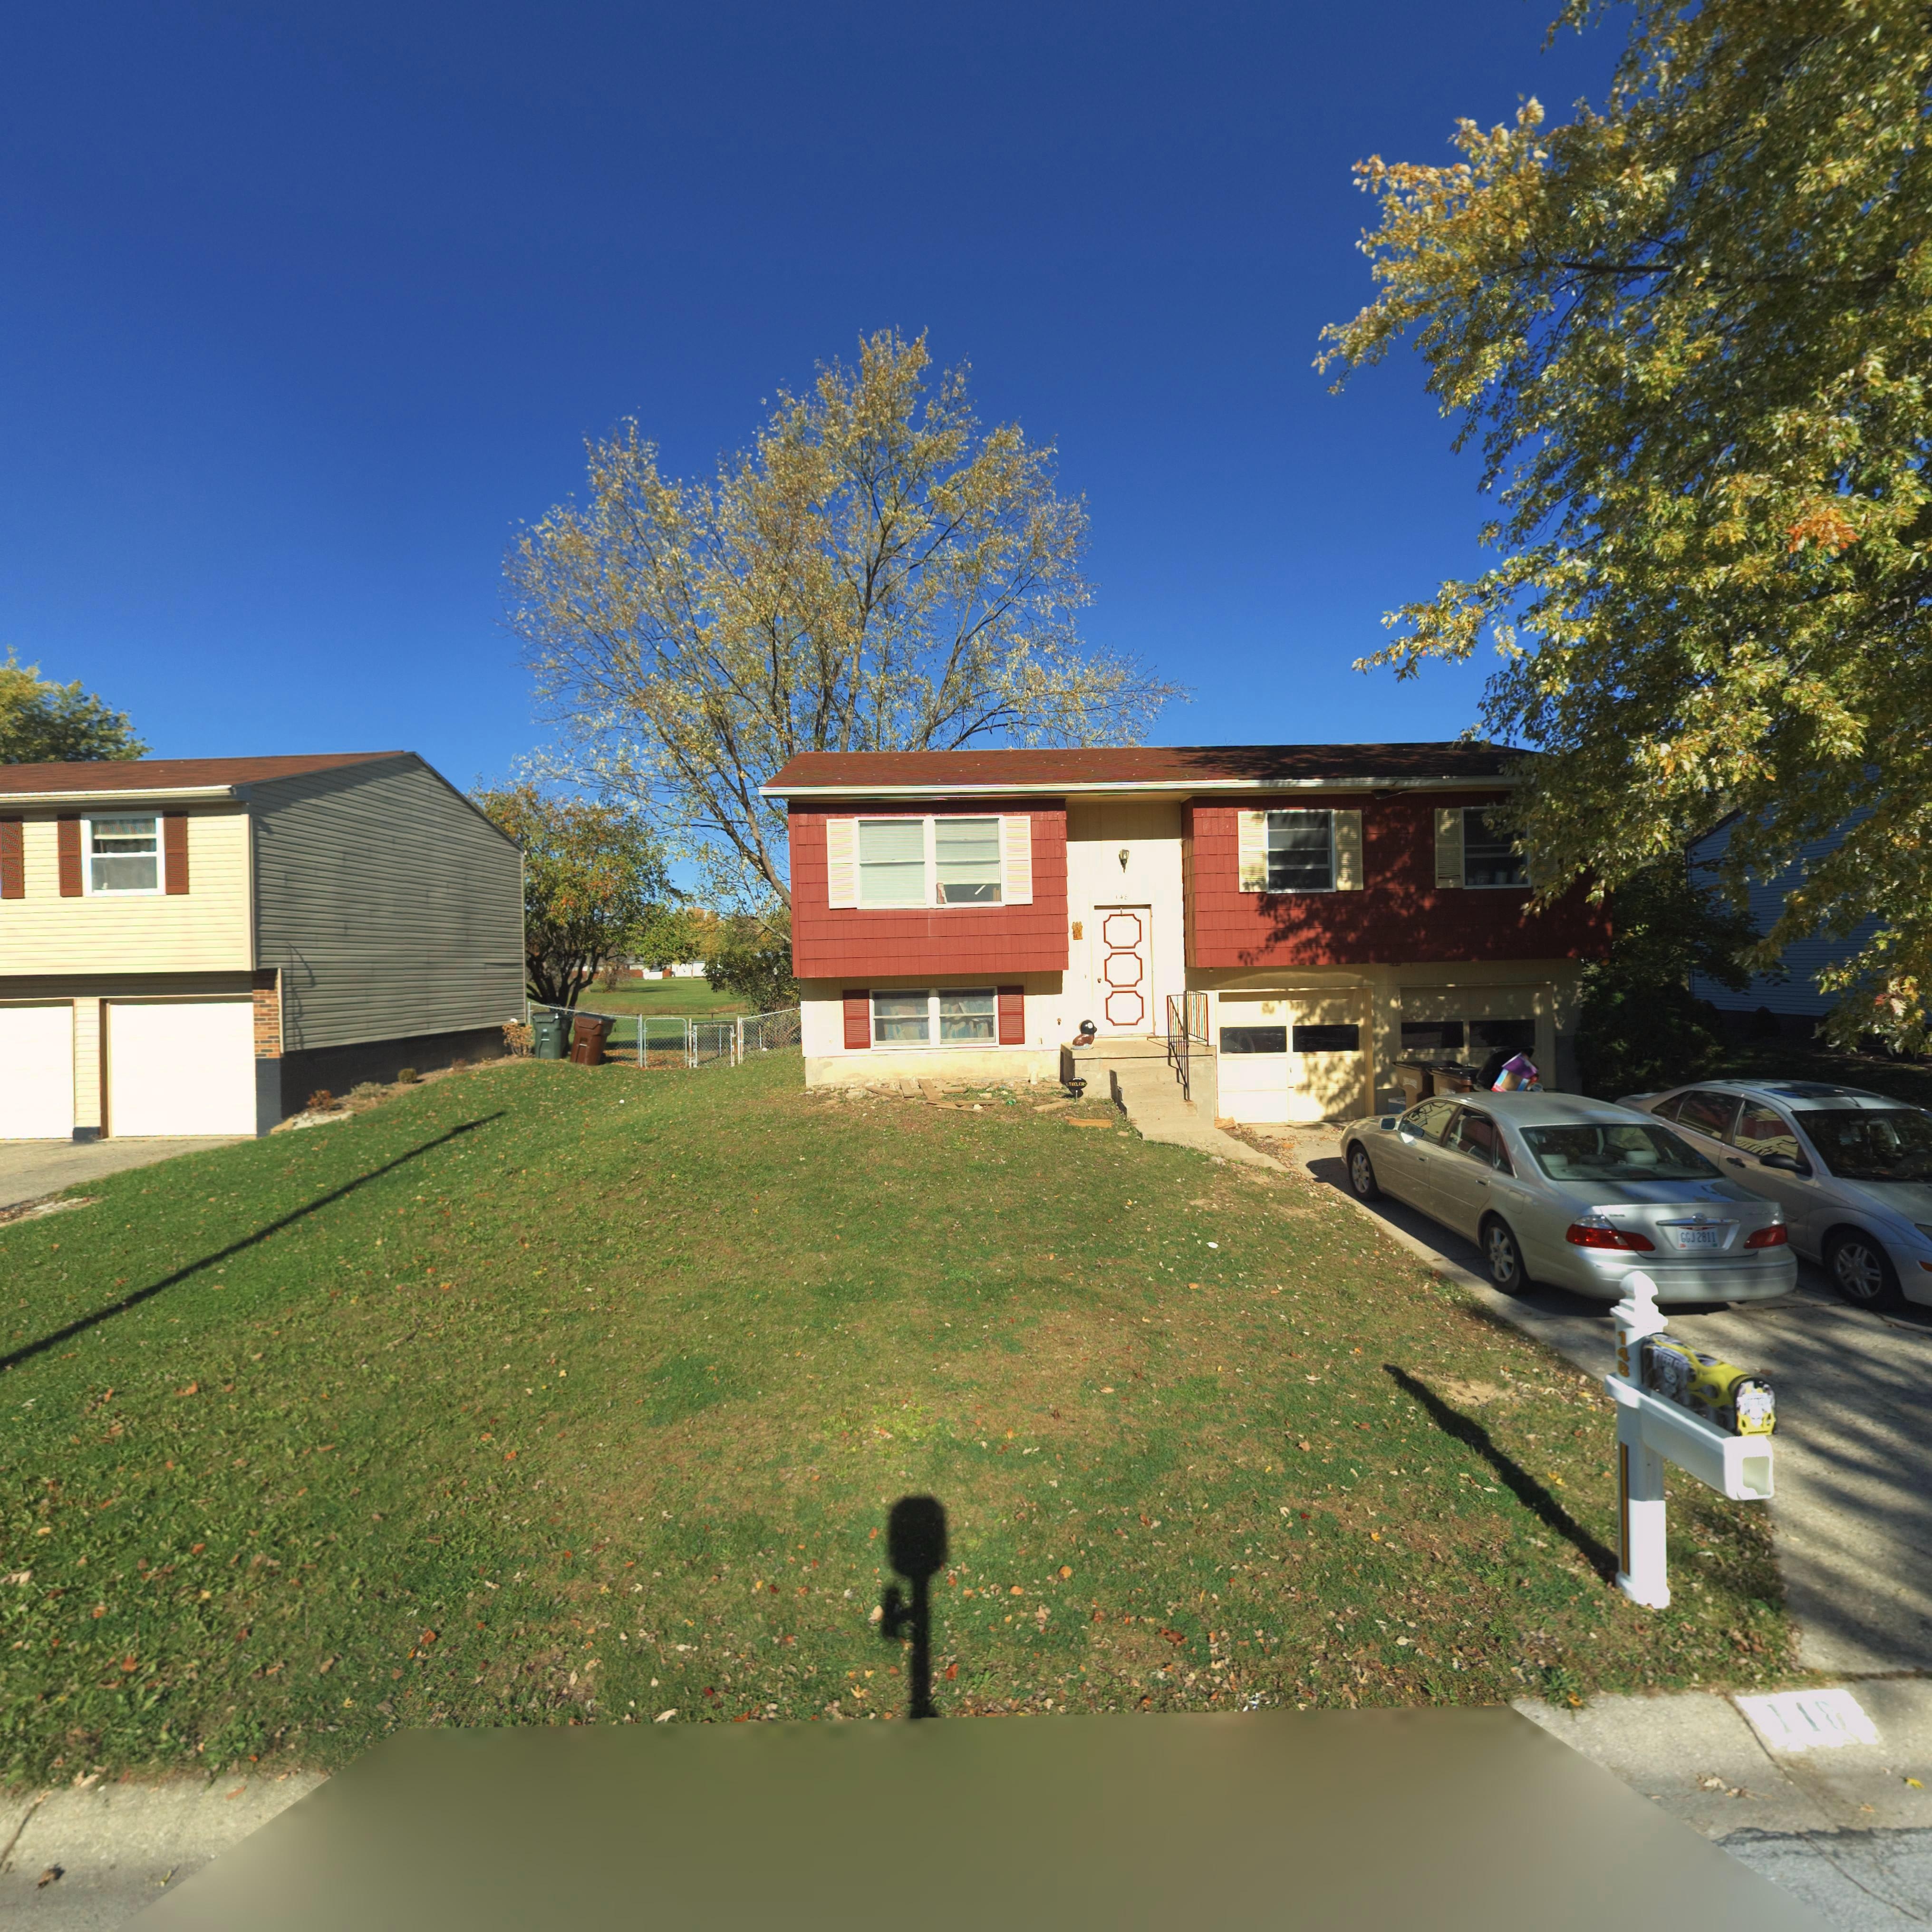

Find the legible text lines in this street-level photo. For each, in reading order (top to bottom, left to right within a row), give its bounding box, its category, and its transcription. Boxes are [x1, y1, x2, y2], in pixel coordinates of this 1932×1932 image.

[1114, 893, 1128, 901] StreetNumber: 148
[1615, 1329, 1631, 1379] StreetNumber: 148